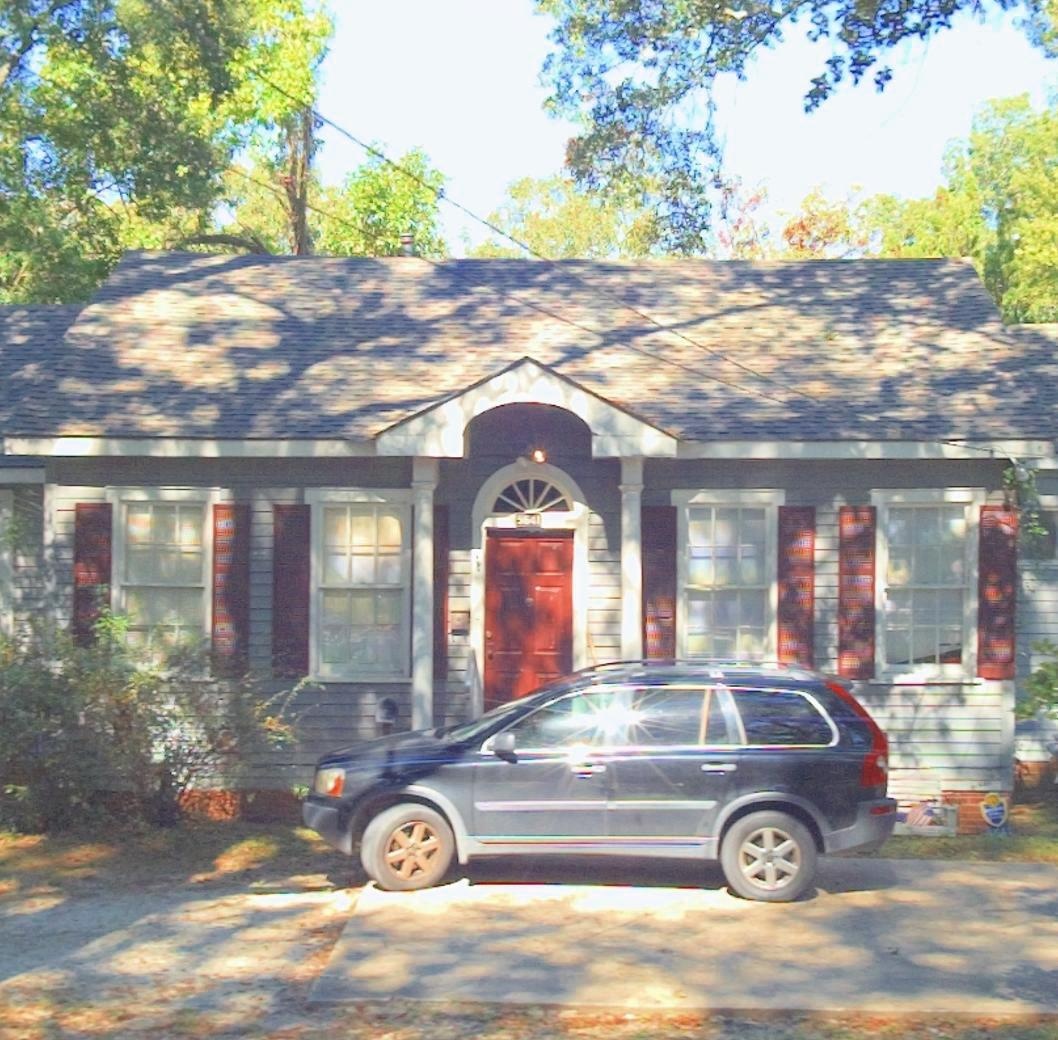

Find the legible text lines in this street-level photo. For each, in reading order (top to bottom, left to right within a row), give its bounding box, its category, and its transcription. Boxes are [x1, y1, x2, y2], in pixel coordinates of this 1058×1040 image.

[516, 512, 542, 527] StreetNumber: 5641